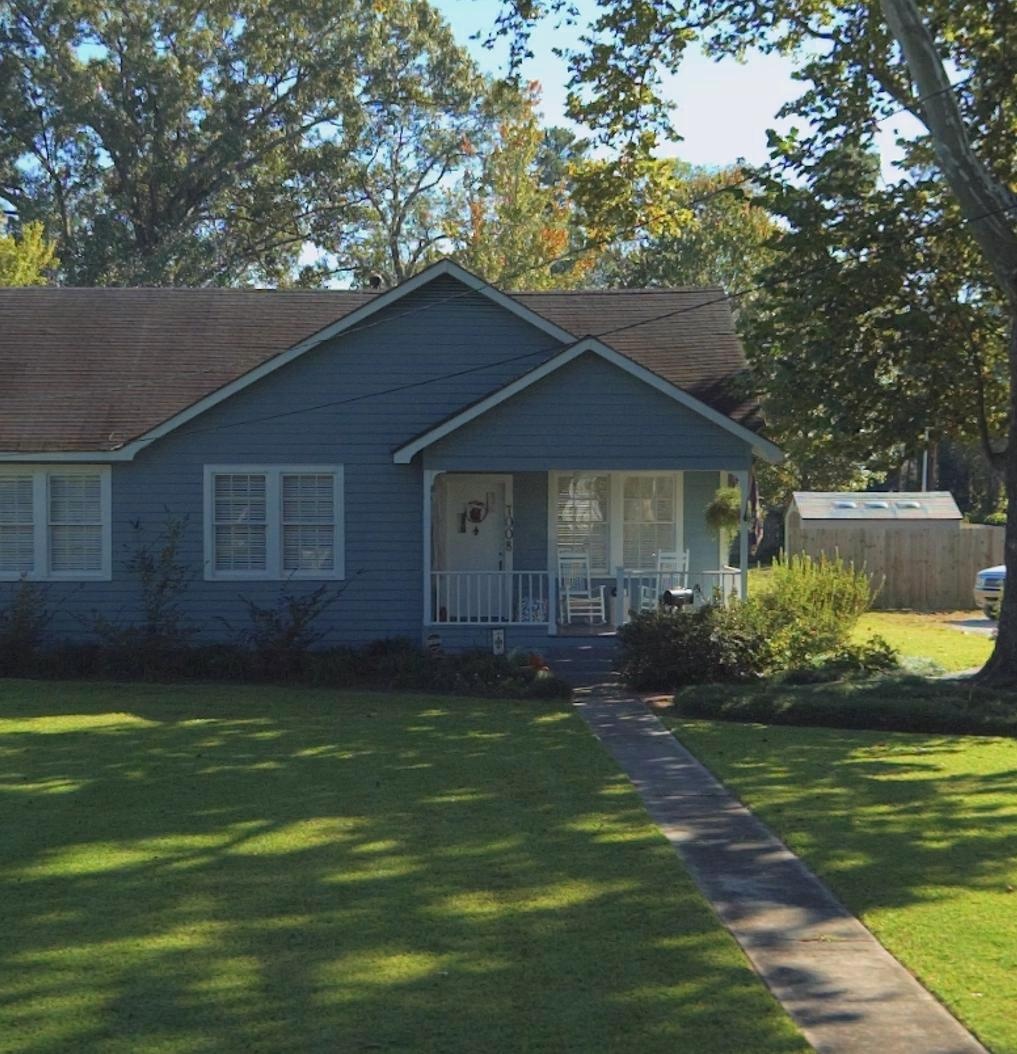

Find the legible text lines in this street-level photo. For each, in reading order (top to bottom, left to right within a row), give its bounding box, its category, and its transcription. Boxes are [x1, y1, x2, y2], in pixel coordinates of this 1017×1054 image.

[504, 503, 515, 554] StreetNumber: 7008